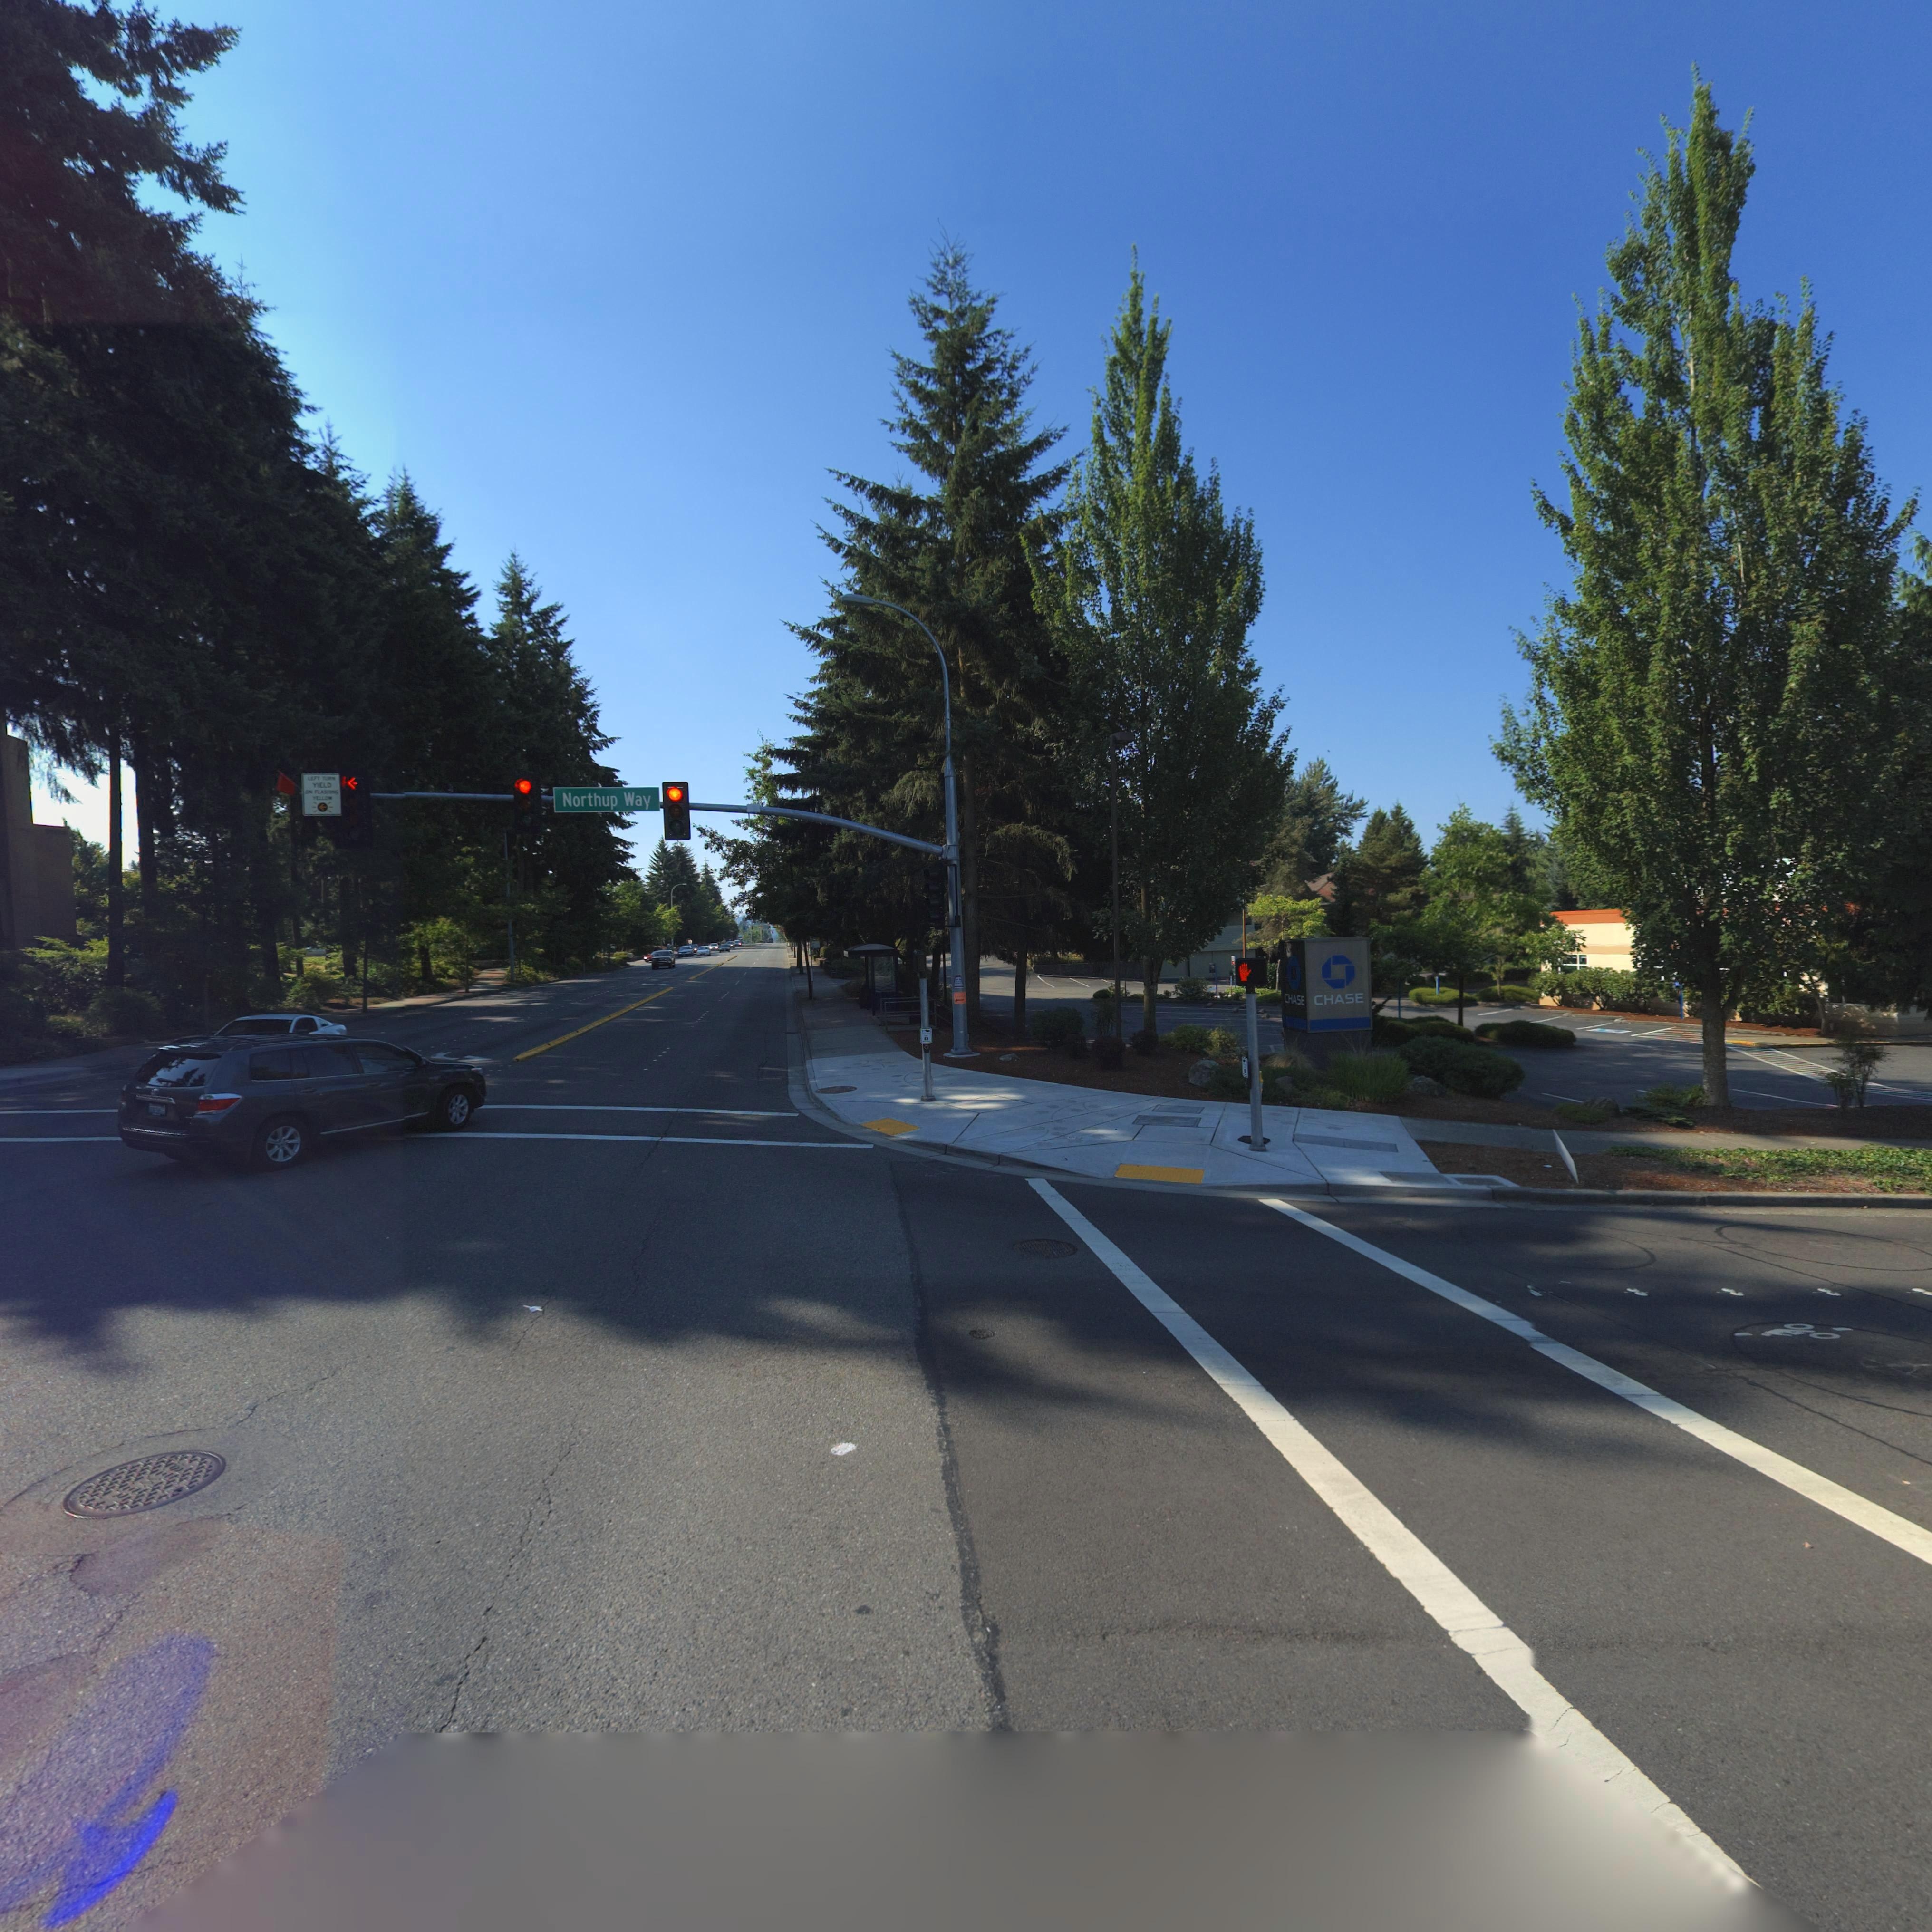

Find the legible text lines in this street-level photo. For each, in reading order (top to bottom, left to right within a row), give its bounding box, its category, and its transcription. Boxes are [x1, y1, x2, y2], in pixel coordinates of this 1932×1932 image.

[561, 792, 651, 810] StreetName: Northup Way
[1283, 993, 1305, 1006] BusinessName: CHASE
[1314, 993, 1364, 1005] BusinessName: CHASE